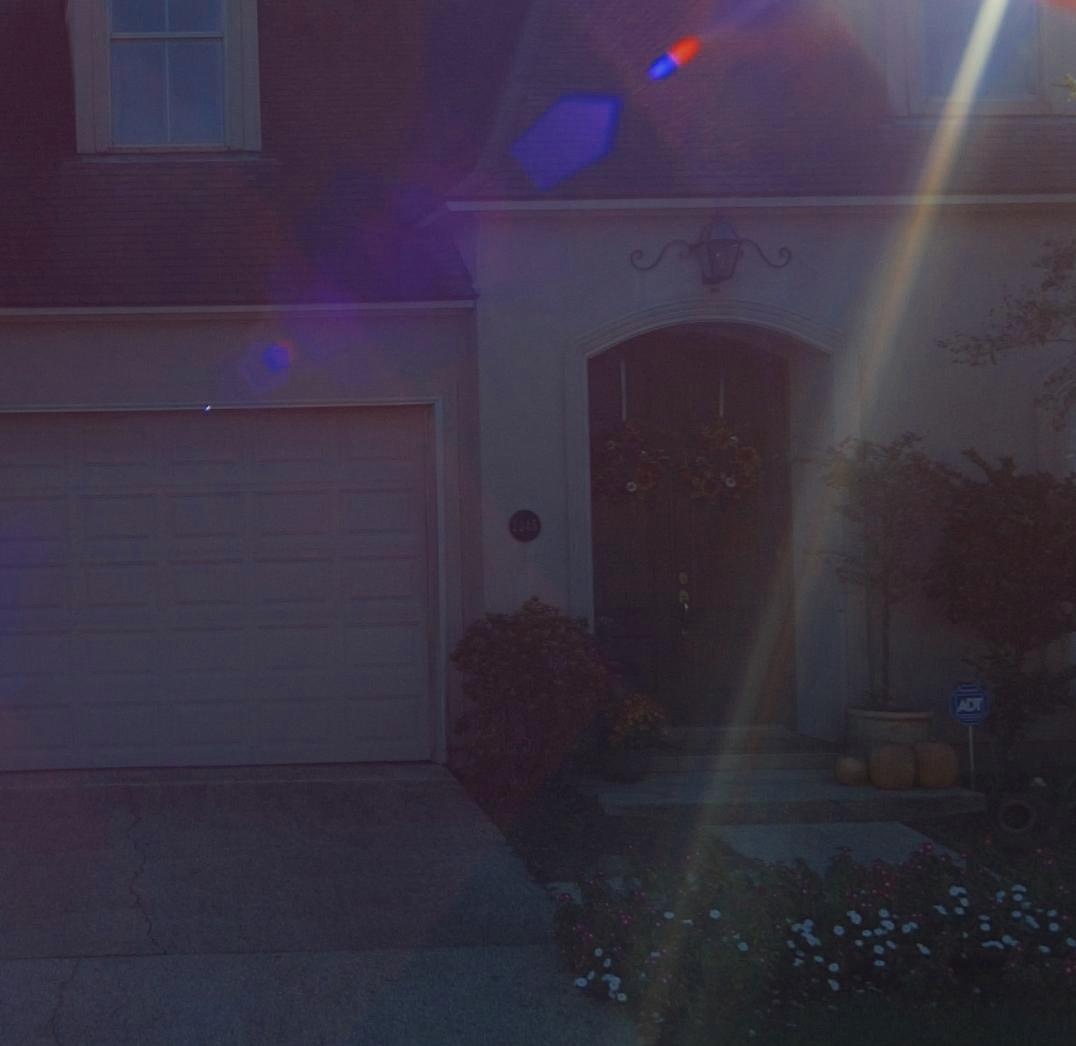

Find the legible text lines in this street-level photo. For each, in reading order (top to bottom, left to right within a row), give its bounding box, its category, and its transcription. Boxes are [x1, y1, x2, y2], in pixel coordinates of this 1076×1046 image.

[510, 517, 539, 534] StreetNumber: 2245